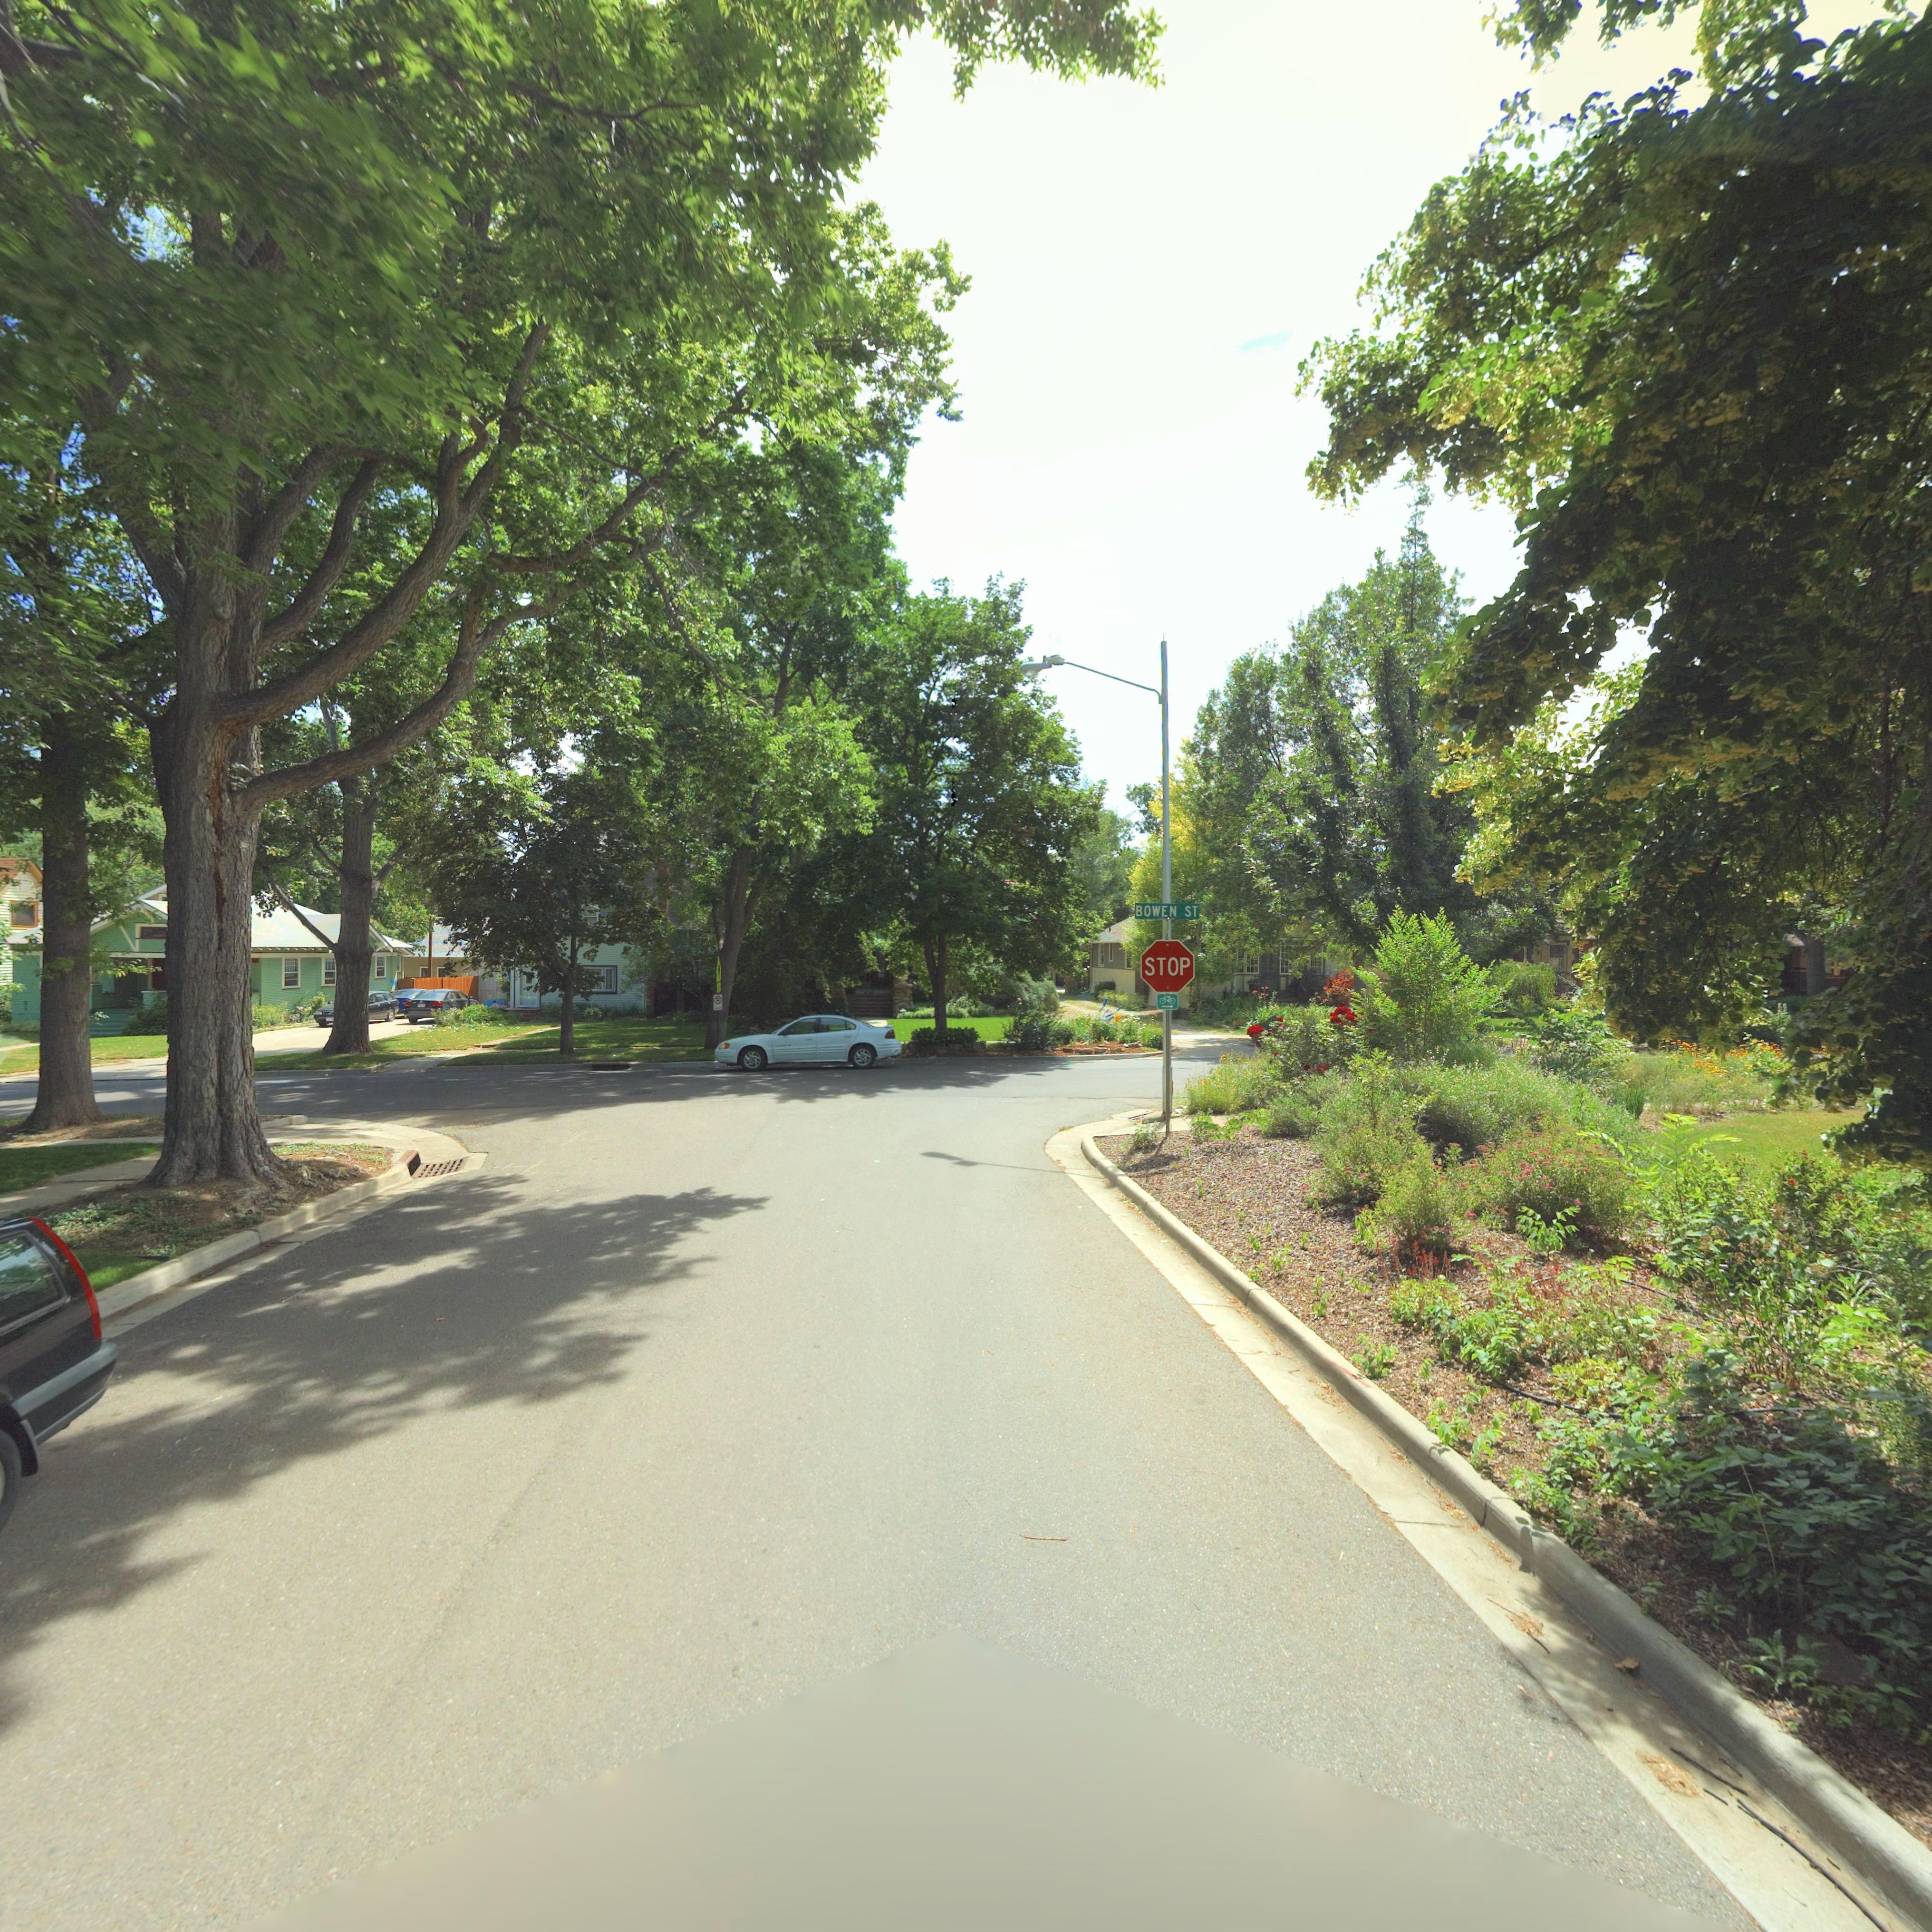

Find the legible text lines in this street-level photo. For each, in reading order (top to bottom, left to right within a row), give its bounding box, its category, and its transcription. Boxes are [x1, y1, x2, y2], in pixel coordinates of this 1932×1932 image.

[1136, 905, 1198, 917] StreetName: BOWEN ST